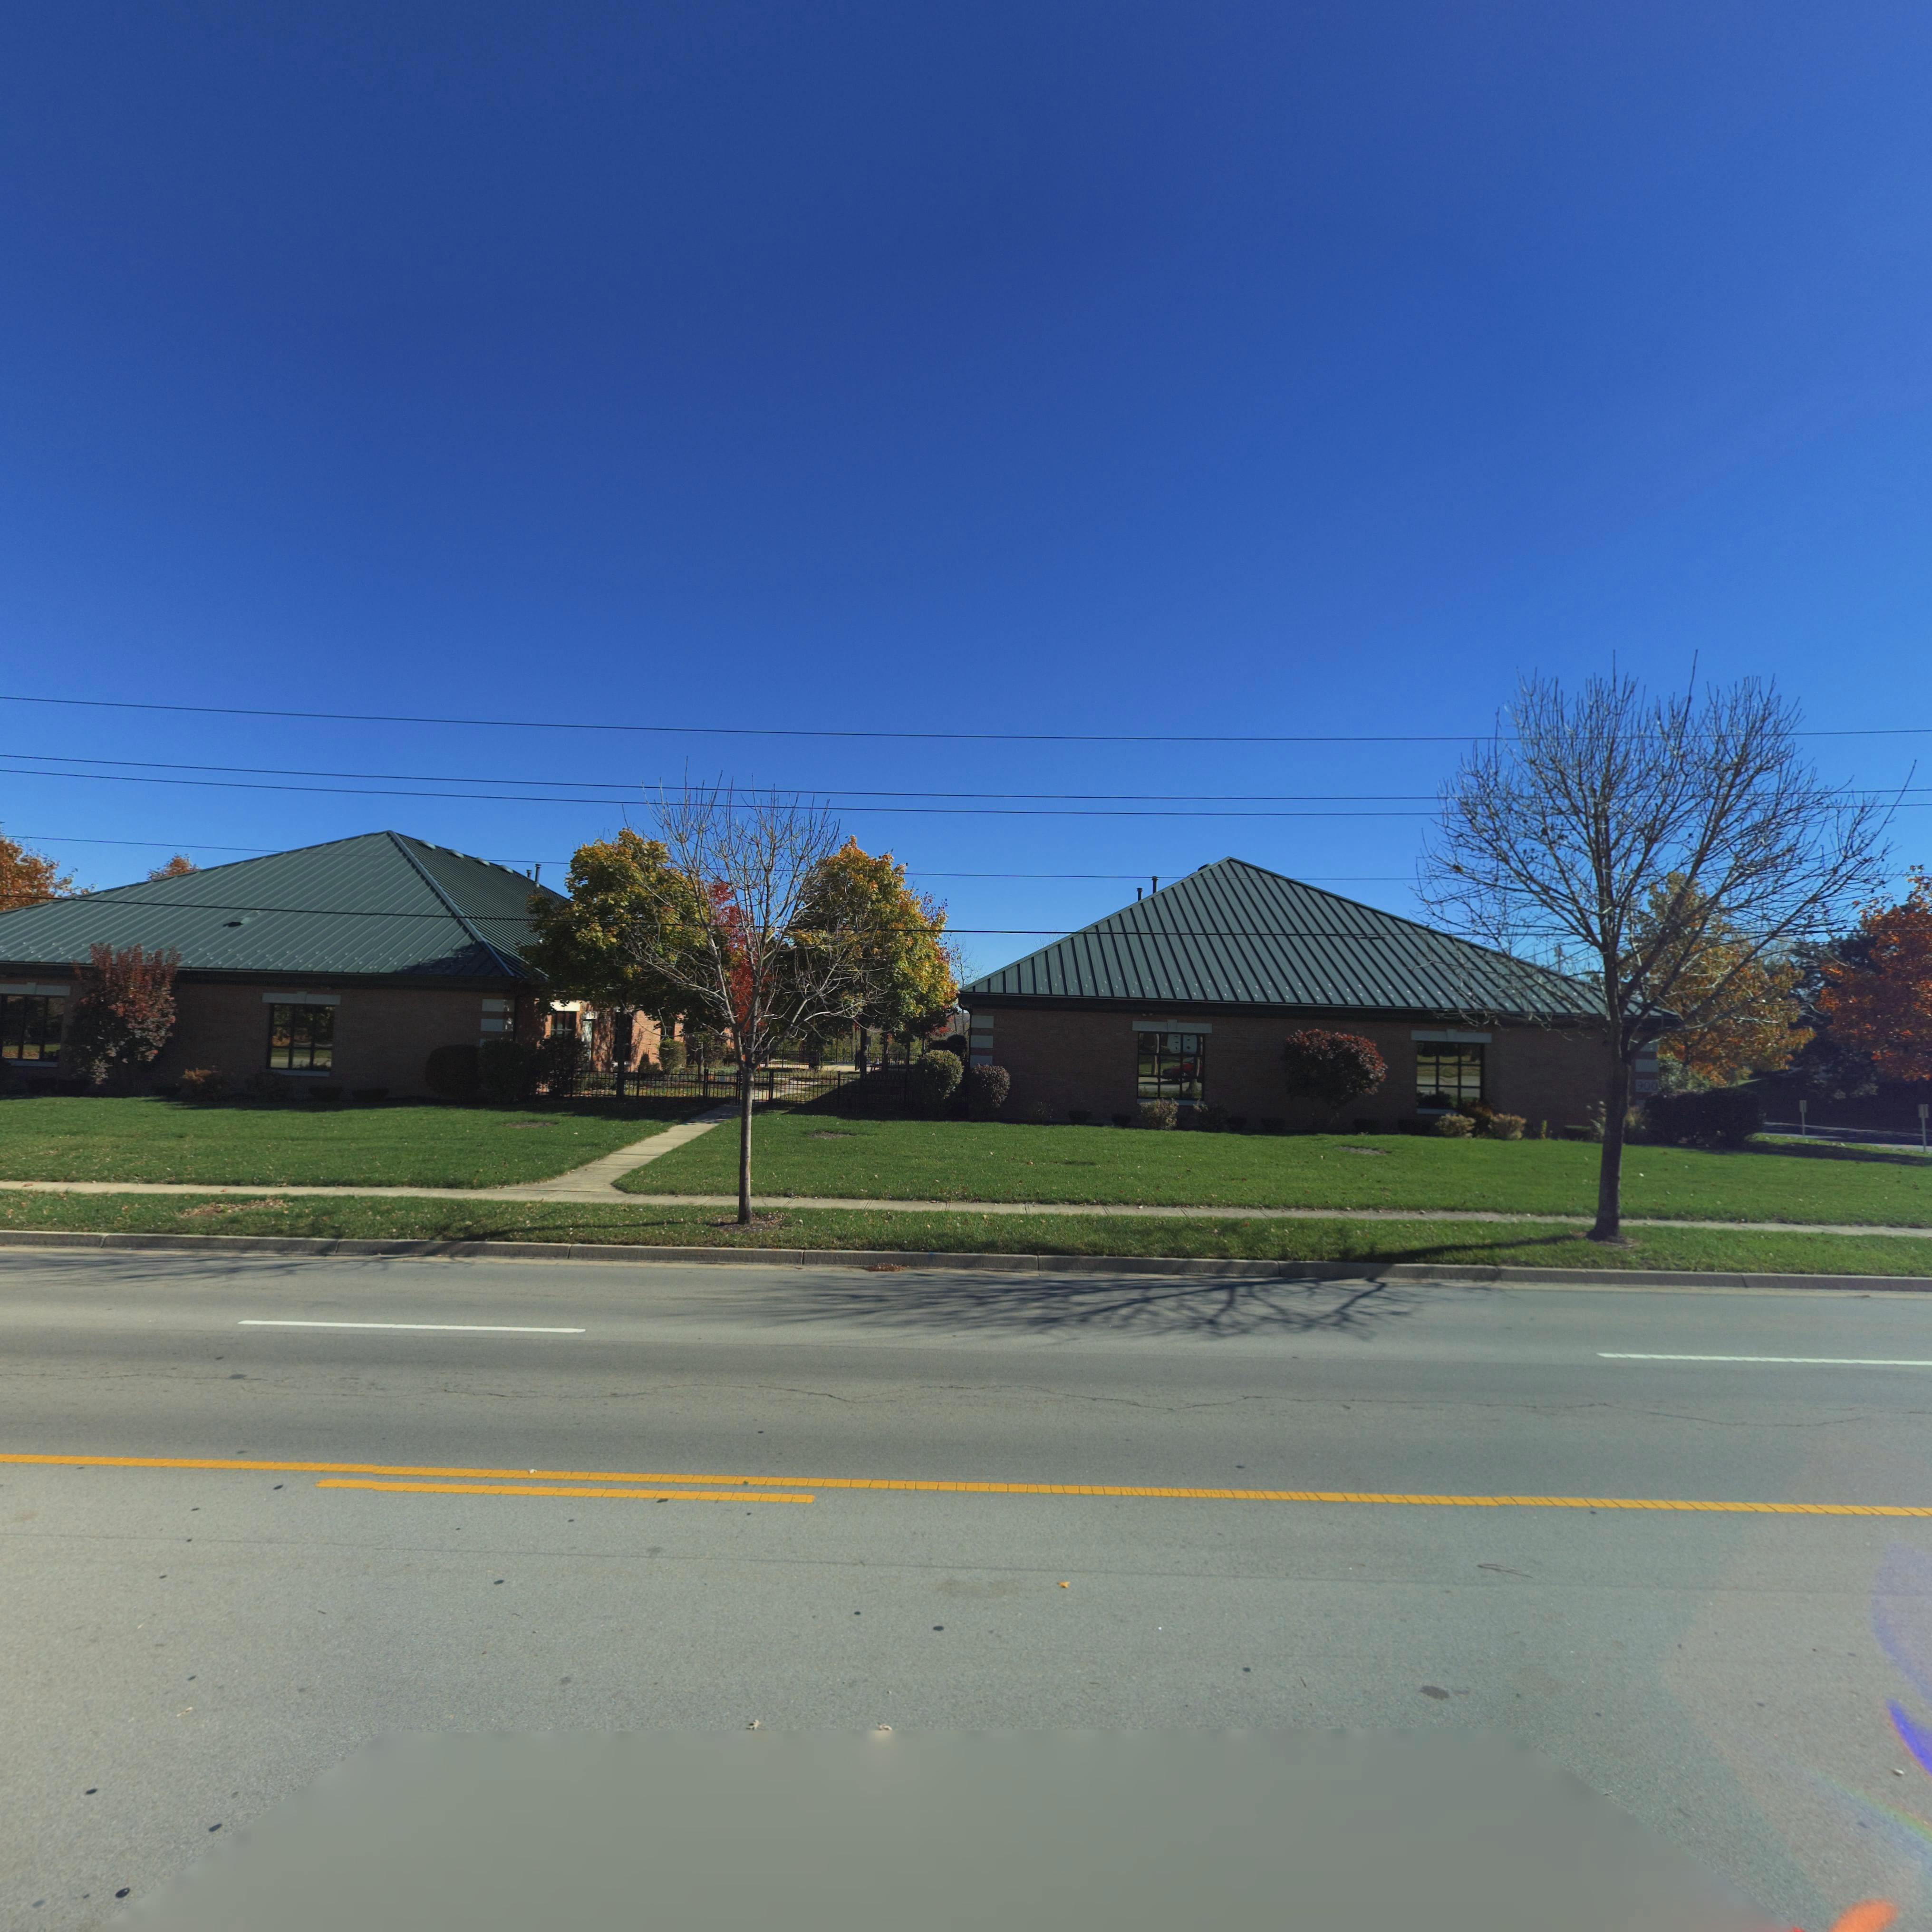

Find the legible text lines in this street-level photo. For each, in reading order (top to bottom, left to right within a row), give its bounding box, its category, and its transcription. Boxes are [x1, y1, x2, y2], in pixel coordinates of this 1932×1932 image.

[1636, 1080, 1659, 1092] StreetNumber: 900